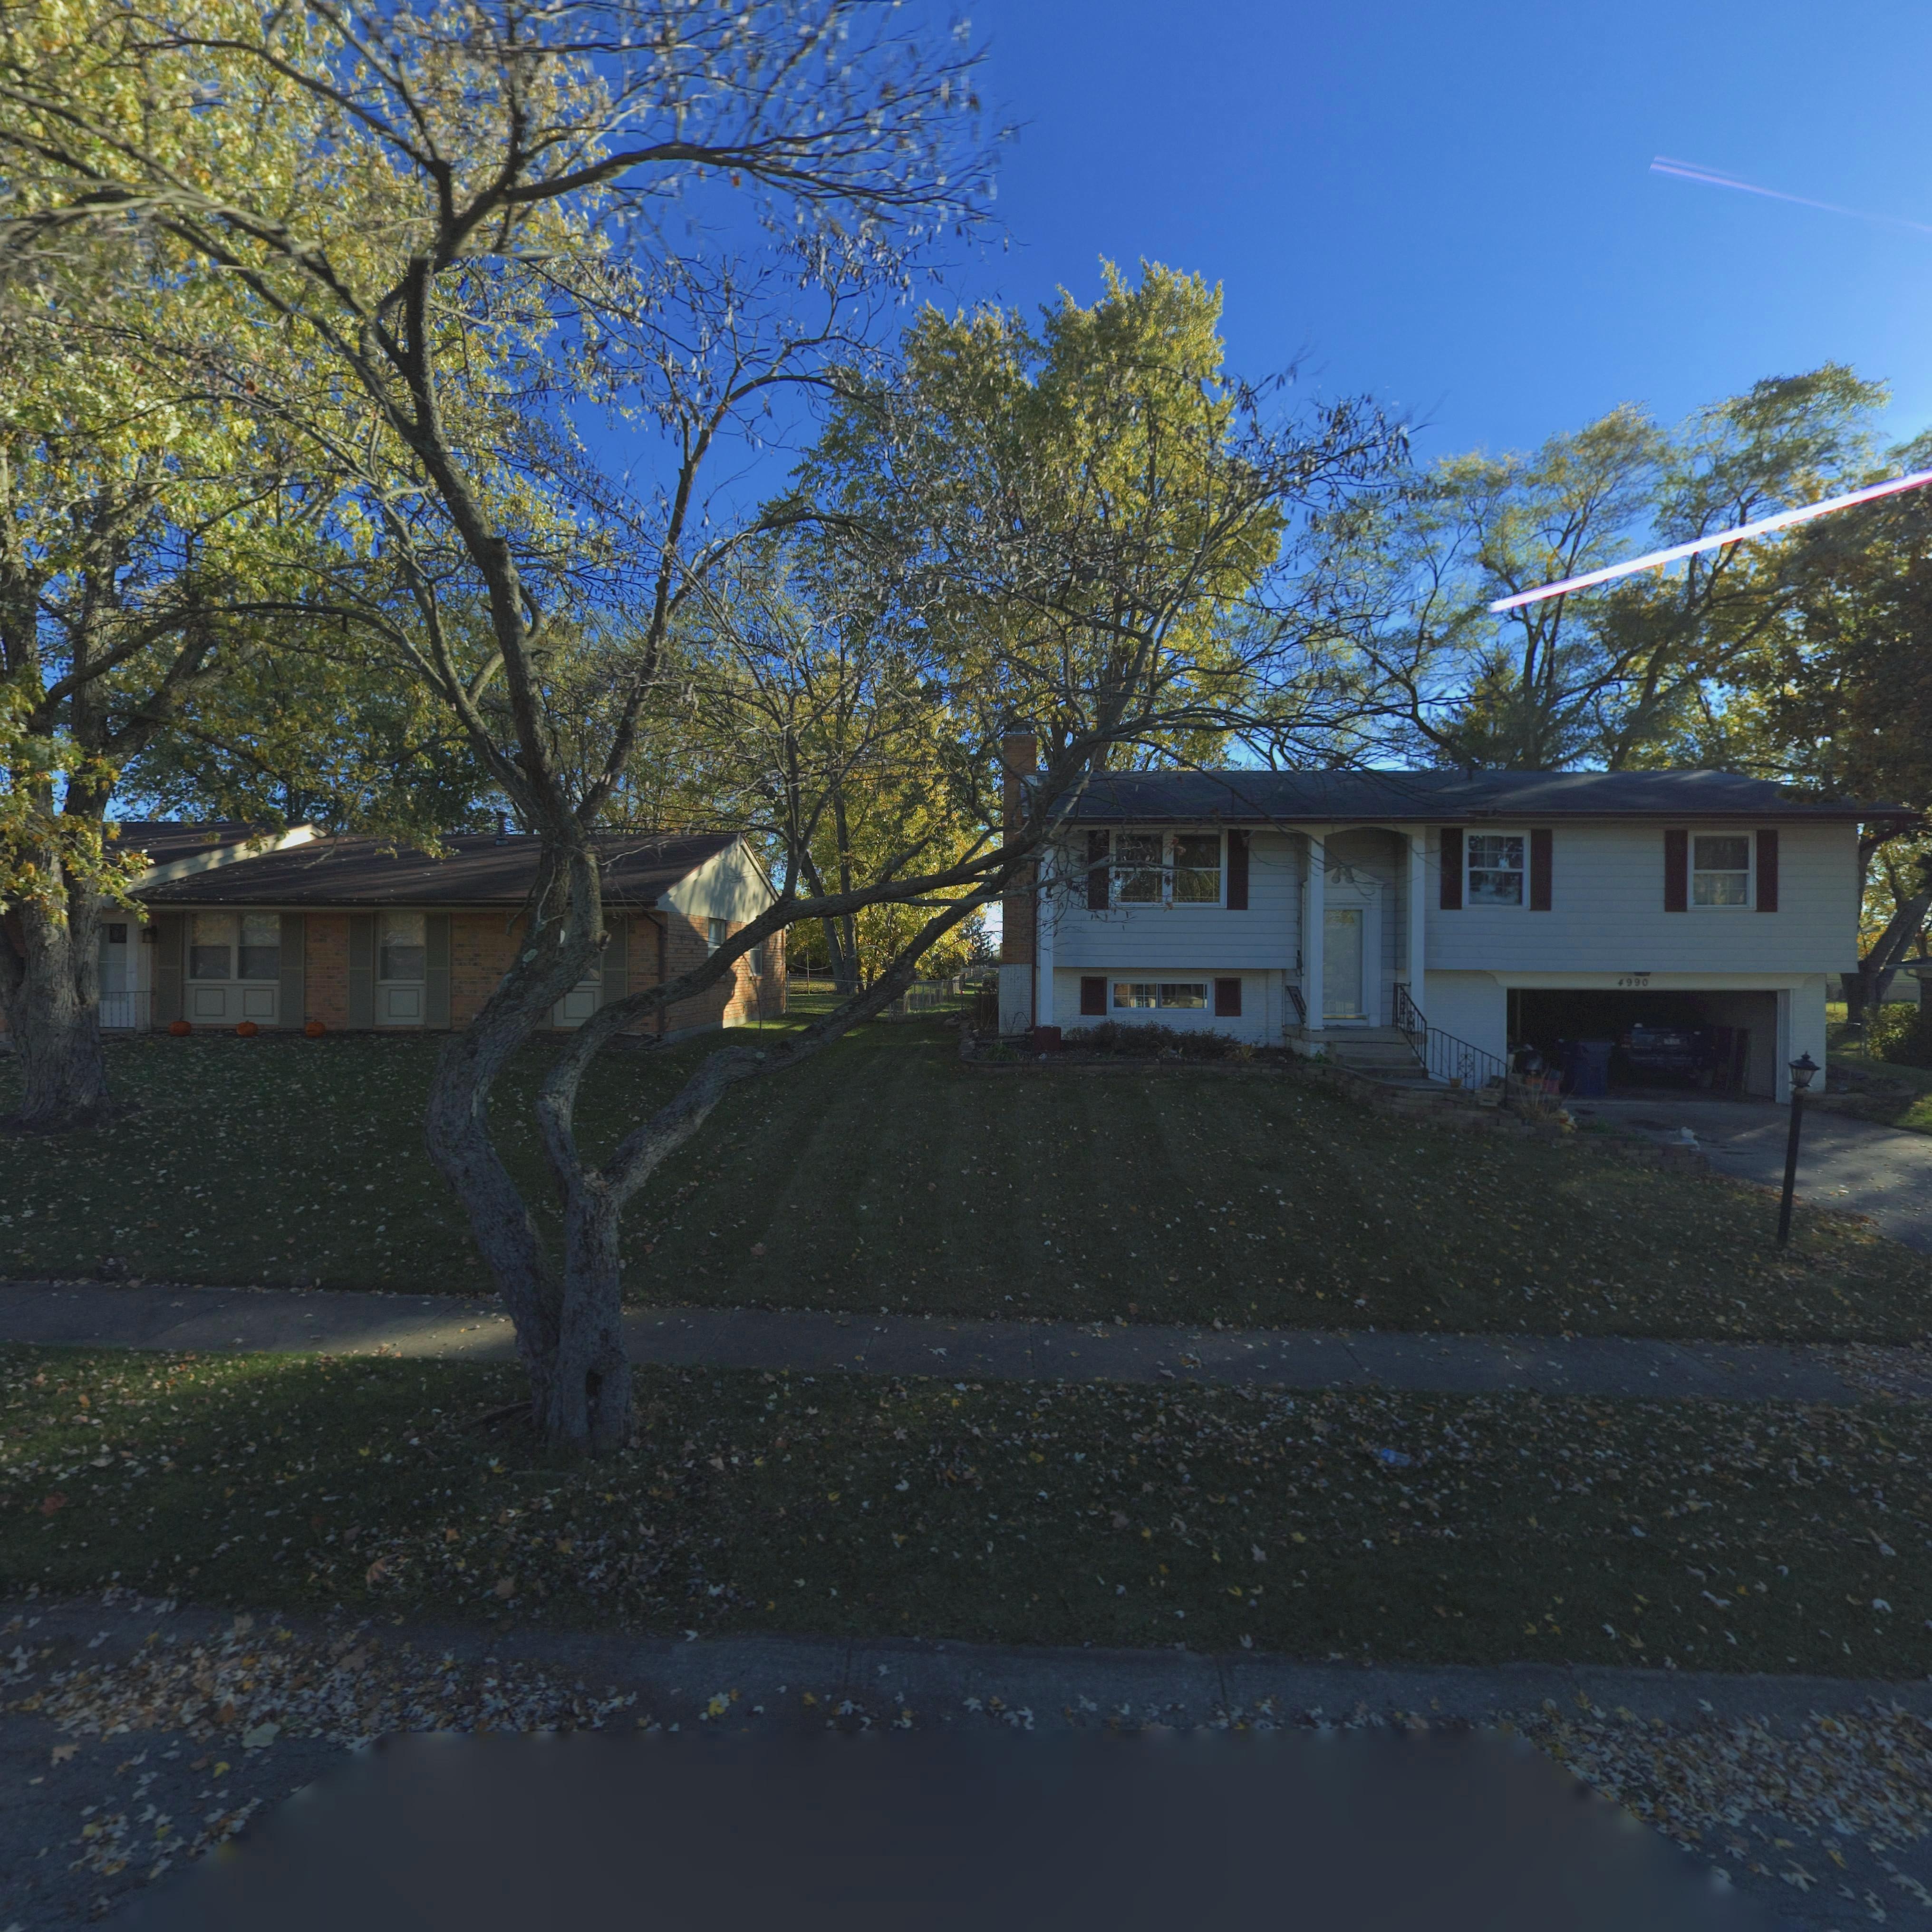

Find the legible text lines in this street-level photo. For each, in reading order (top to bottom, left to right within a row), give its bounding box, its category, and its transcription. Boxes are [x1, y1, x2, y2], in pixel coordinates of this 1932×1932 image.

[1617, 977, 1648, 986] StreetNumber: 4990